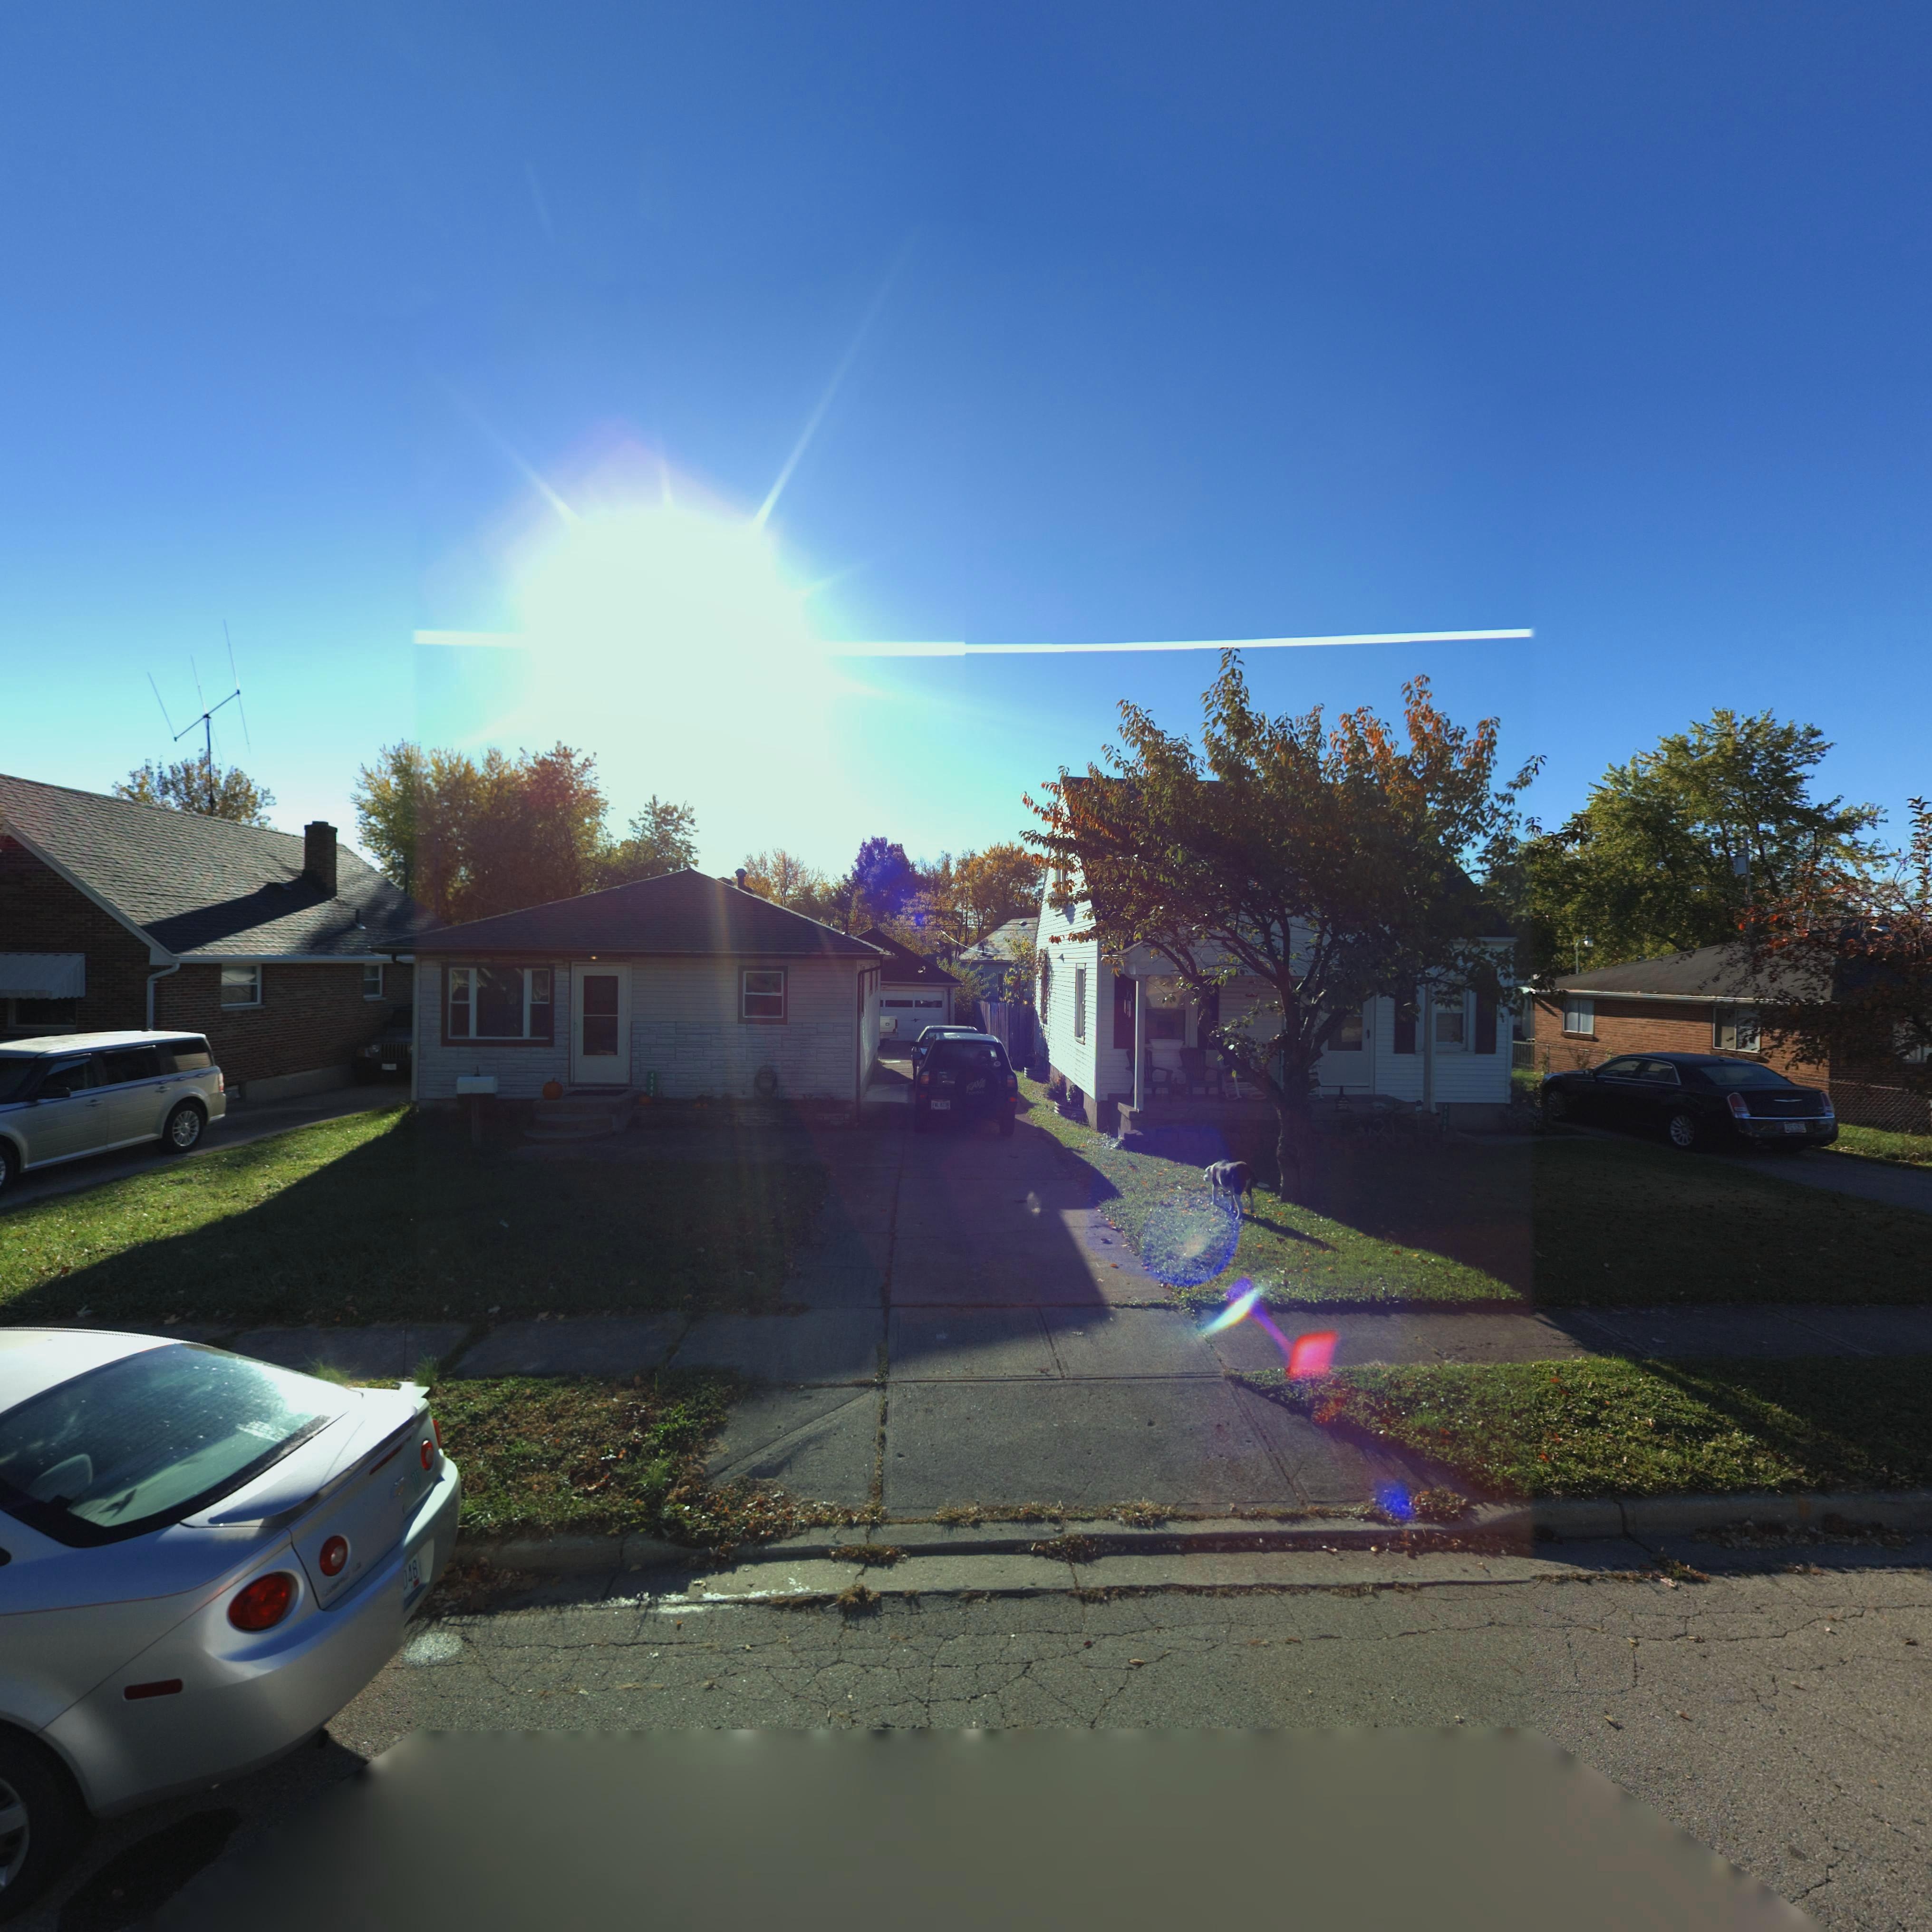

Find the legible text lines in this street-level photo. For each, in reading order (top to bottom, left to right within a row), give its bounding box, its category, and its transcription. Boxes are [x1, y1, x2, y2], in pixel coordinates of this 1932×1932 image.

[649, 1072, 655, 1097] StreetNumber: 4544
[1442, 1104, 1449, 1133] StreetNumber: 4552